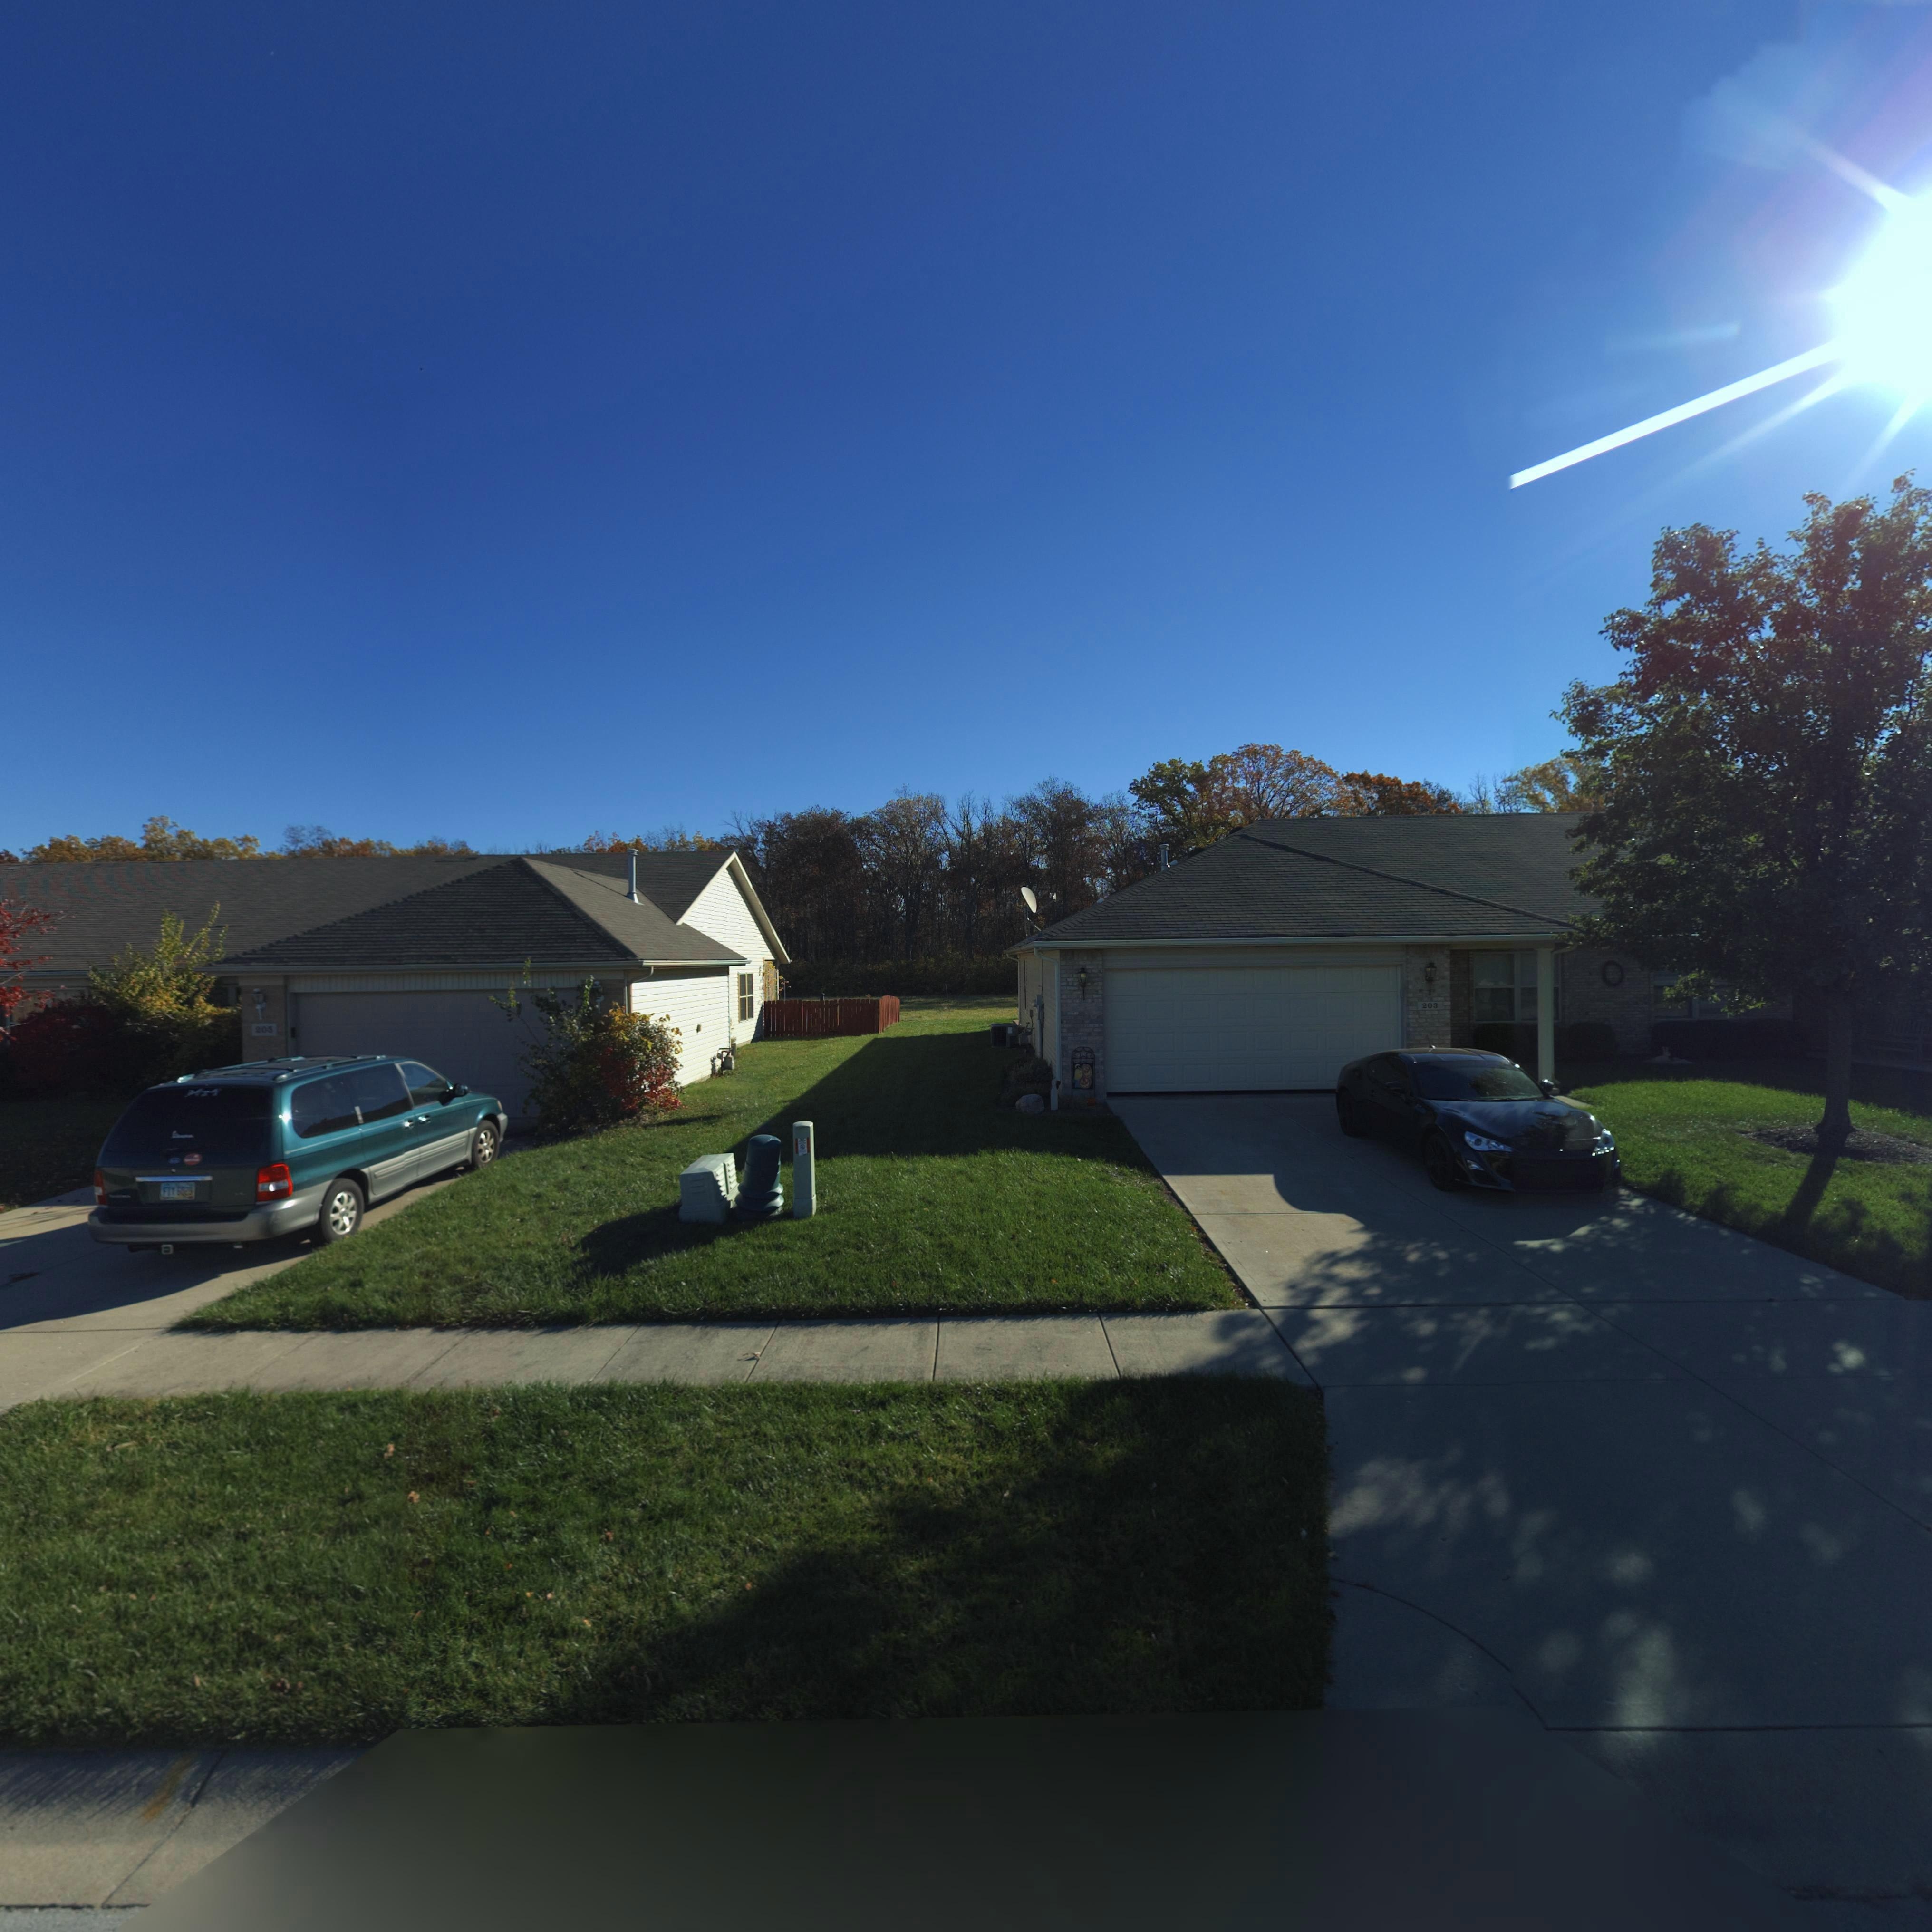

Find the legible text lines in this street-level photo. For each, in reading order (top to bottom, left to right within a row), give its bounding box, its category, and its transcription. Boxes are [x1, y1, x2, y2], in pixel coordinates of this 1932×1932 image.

[1421, 1002, 1439, 1009] StreetNumber: 203
[254, 1025, 274, 1034] StreetNumber: 205